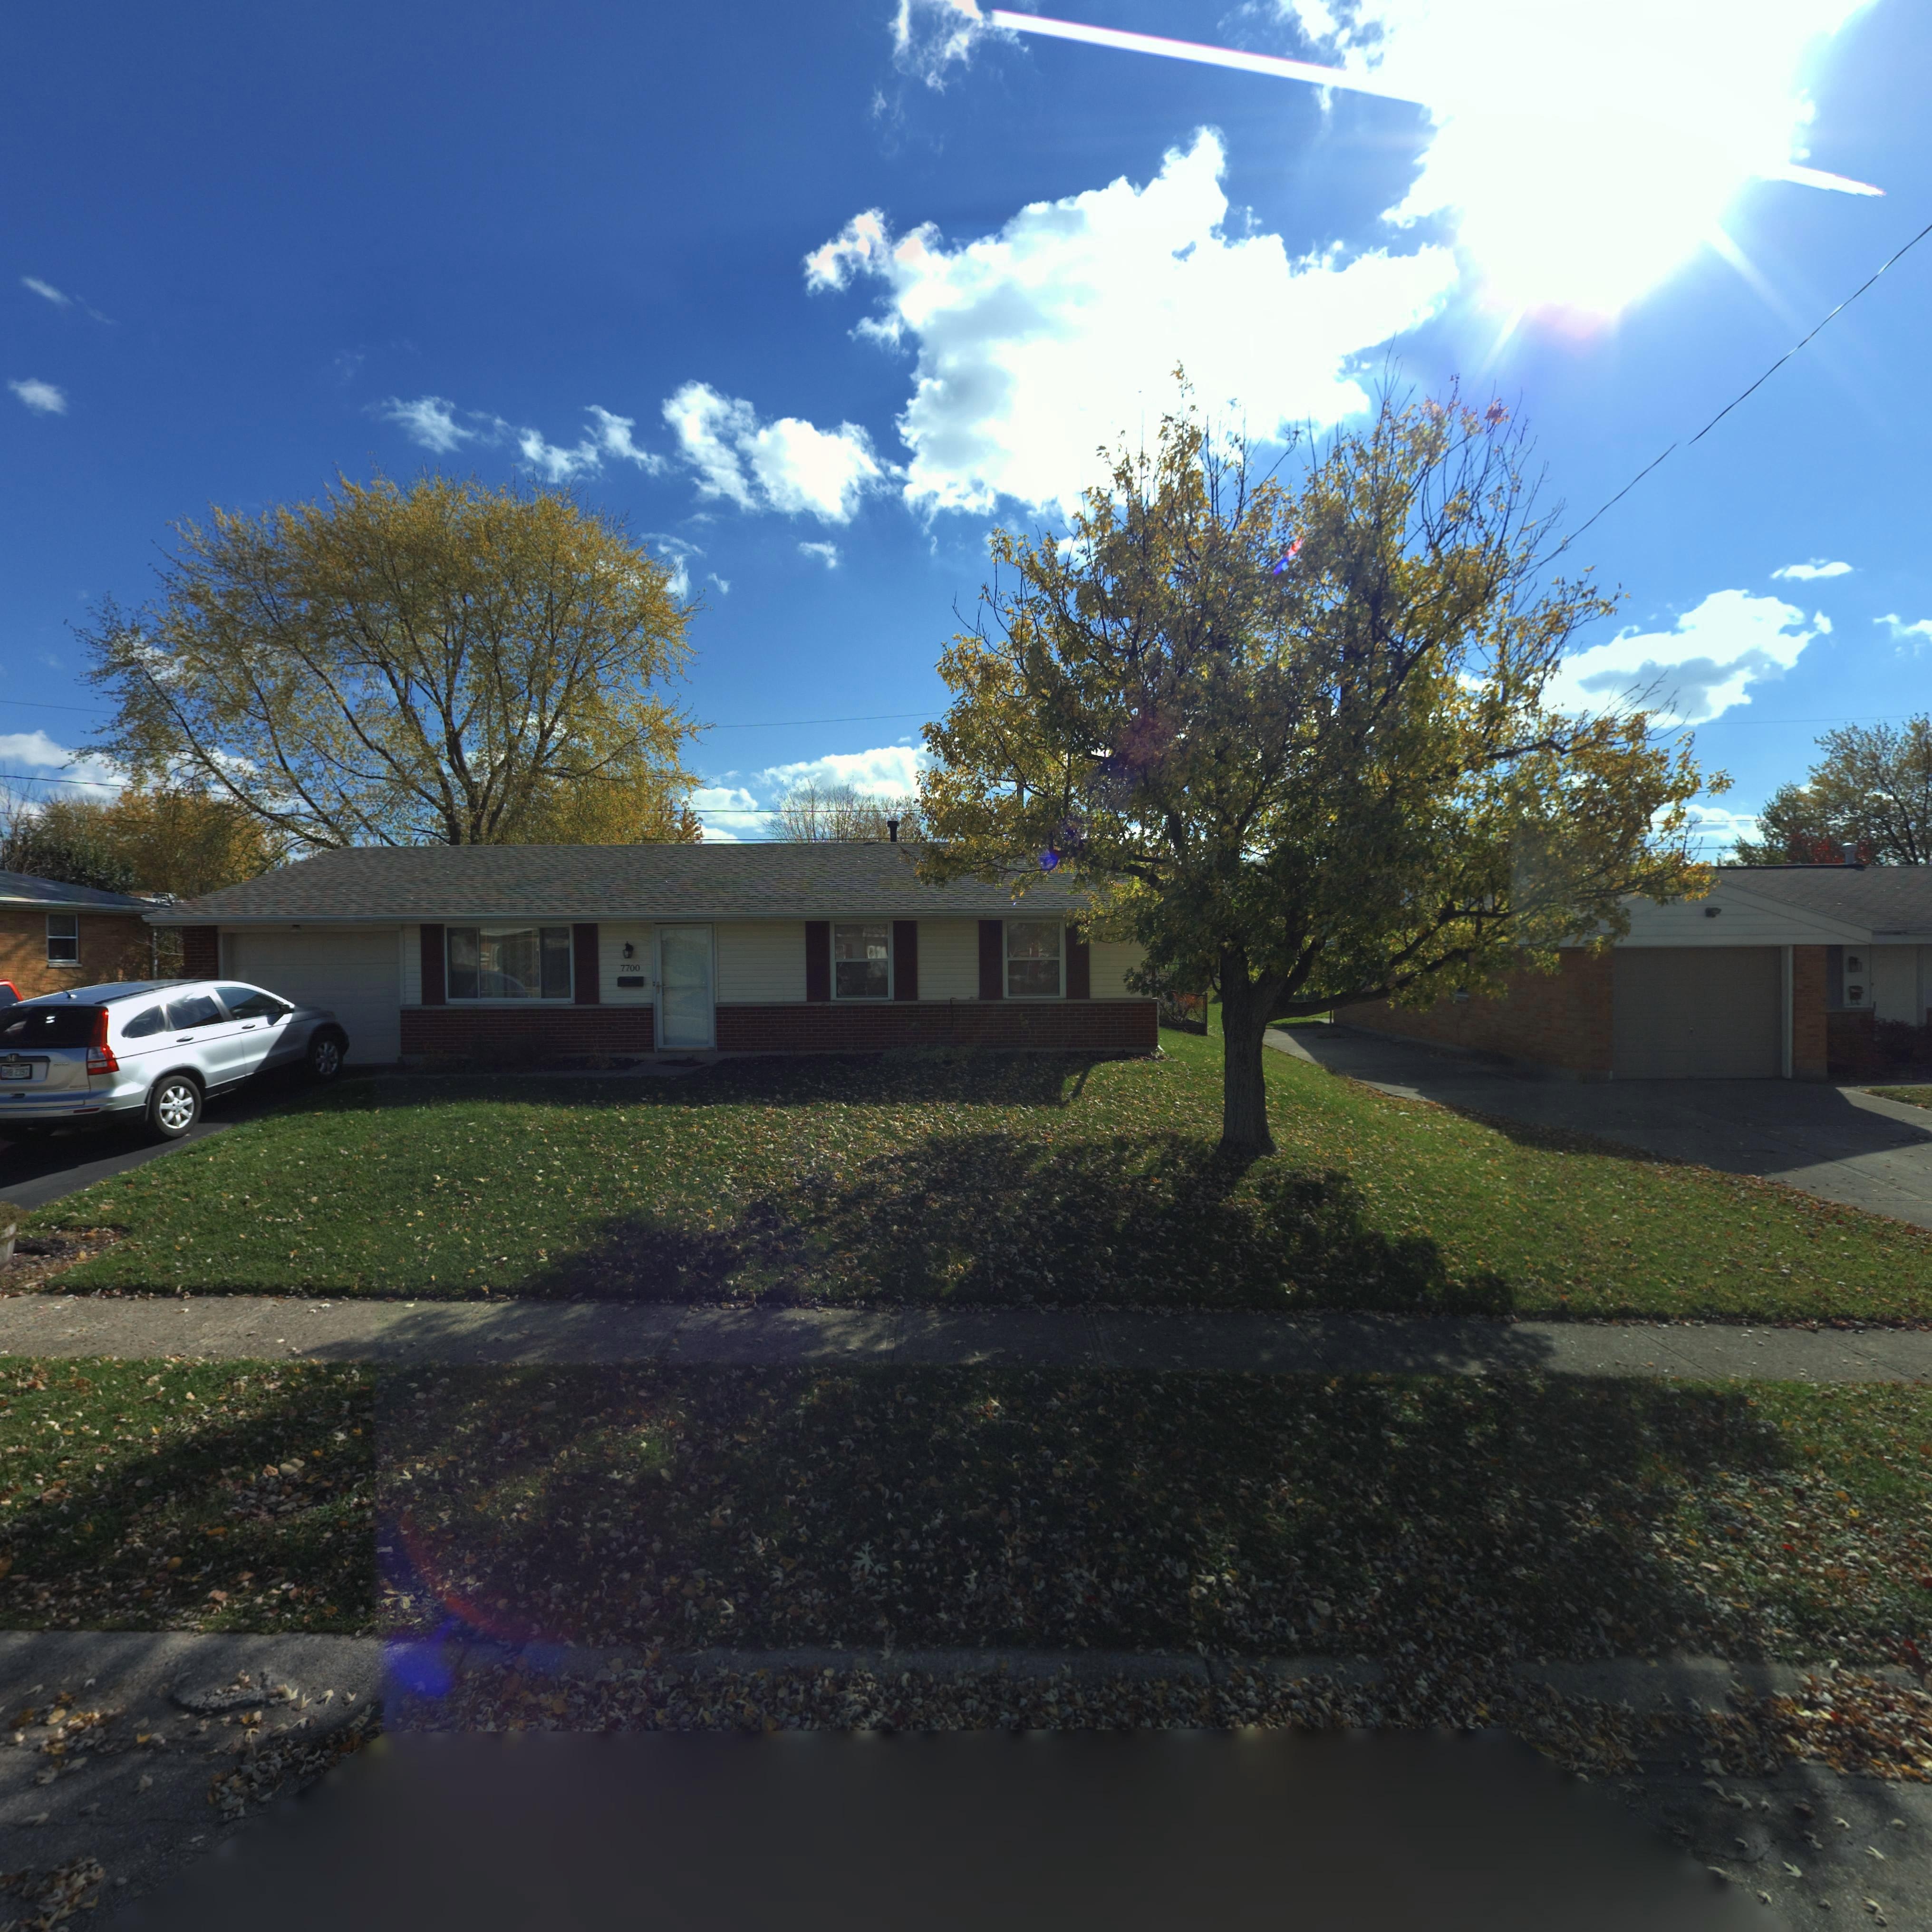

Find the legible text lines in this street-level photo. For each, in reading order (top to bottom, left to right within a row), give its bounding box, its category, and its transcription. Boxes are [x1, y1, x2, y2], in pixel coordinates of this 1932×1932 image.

[620, 964, 640, 972] StreetNumber: 7700